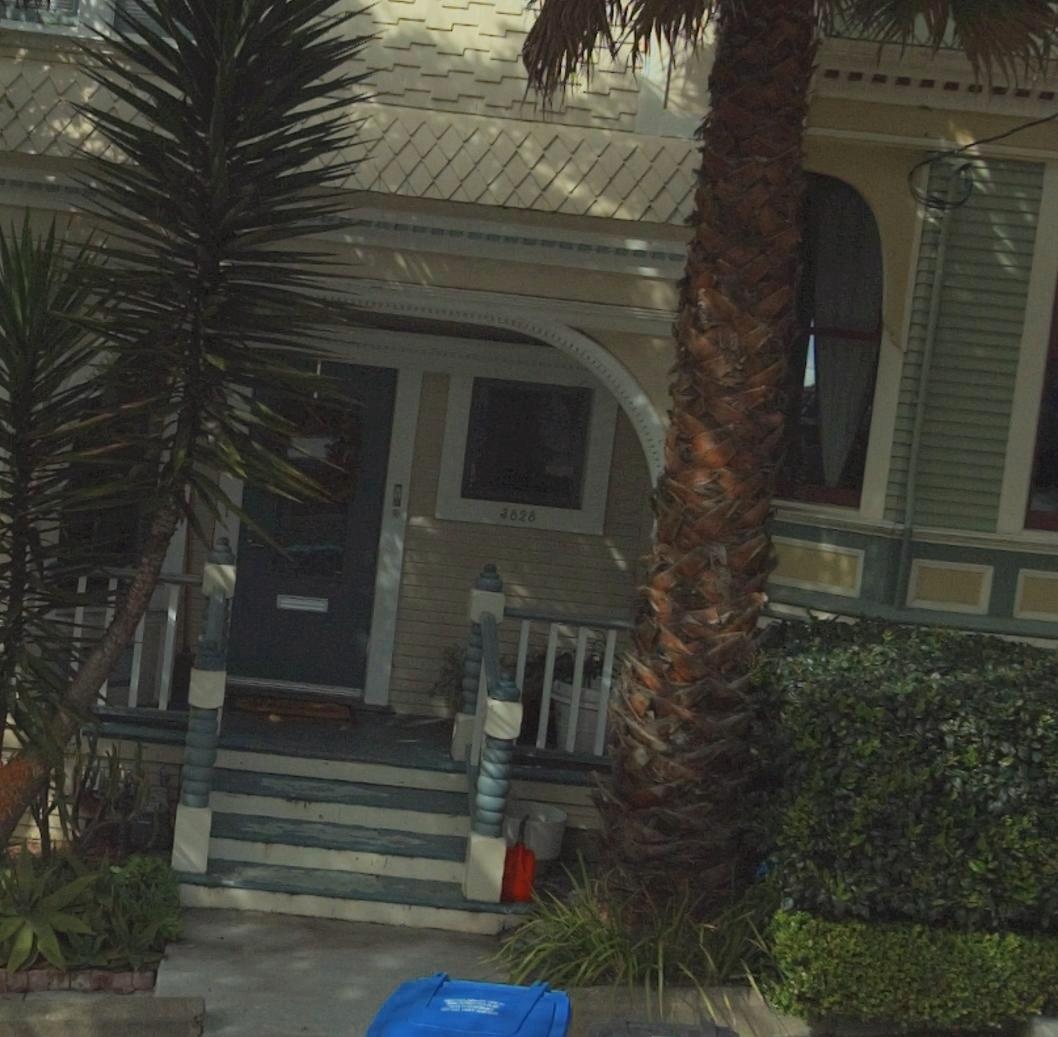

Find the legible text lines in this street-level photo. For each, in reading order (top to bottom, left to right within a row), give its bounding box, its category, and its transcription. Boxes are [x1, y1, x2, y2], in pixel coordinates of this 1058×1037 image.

[499, 506, 536, 524] StreetNumber: 3828